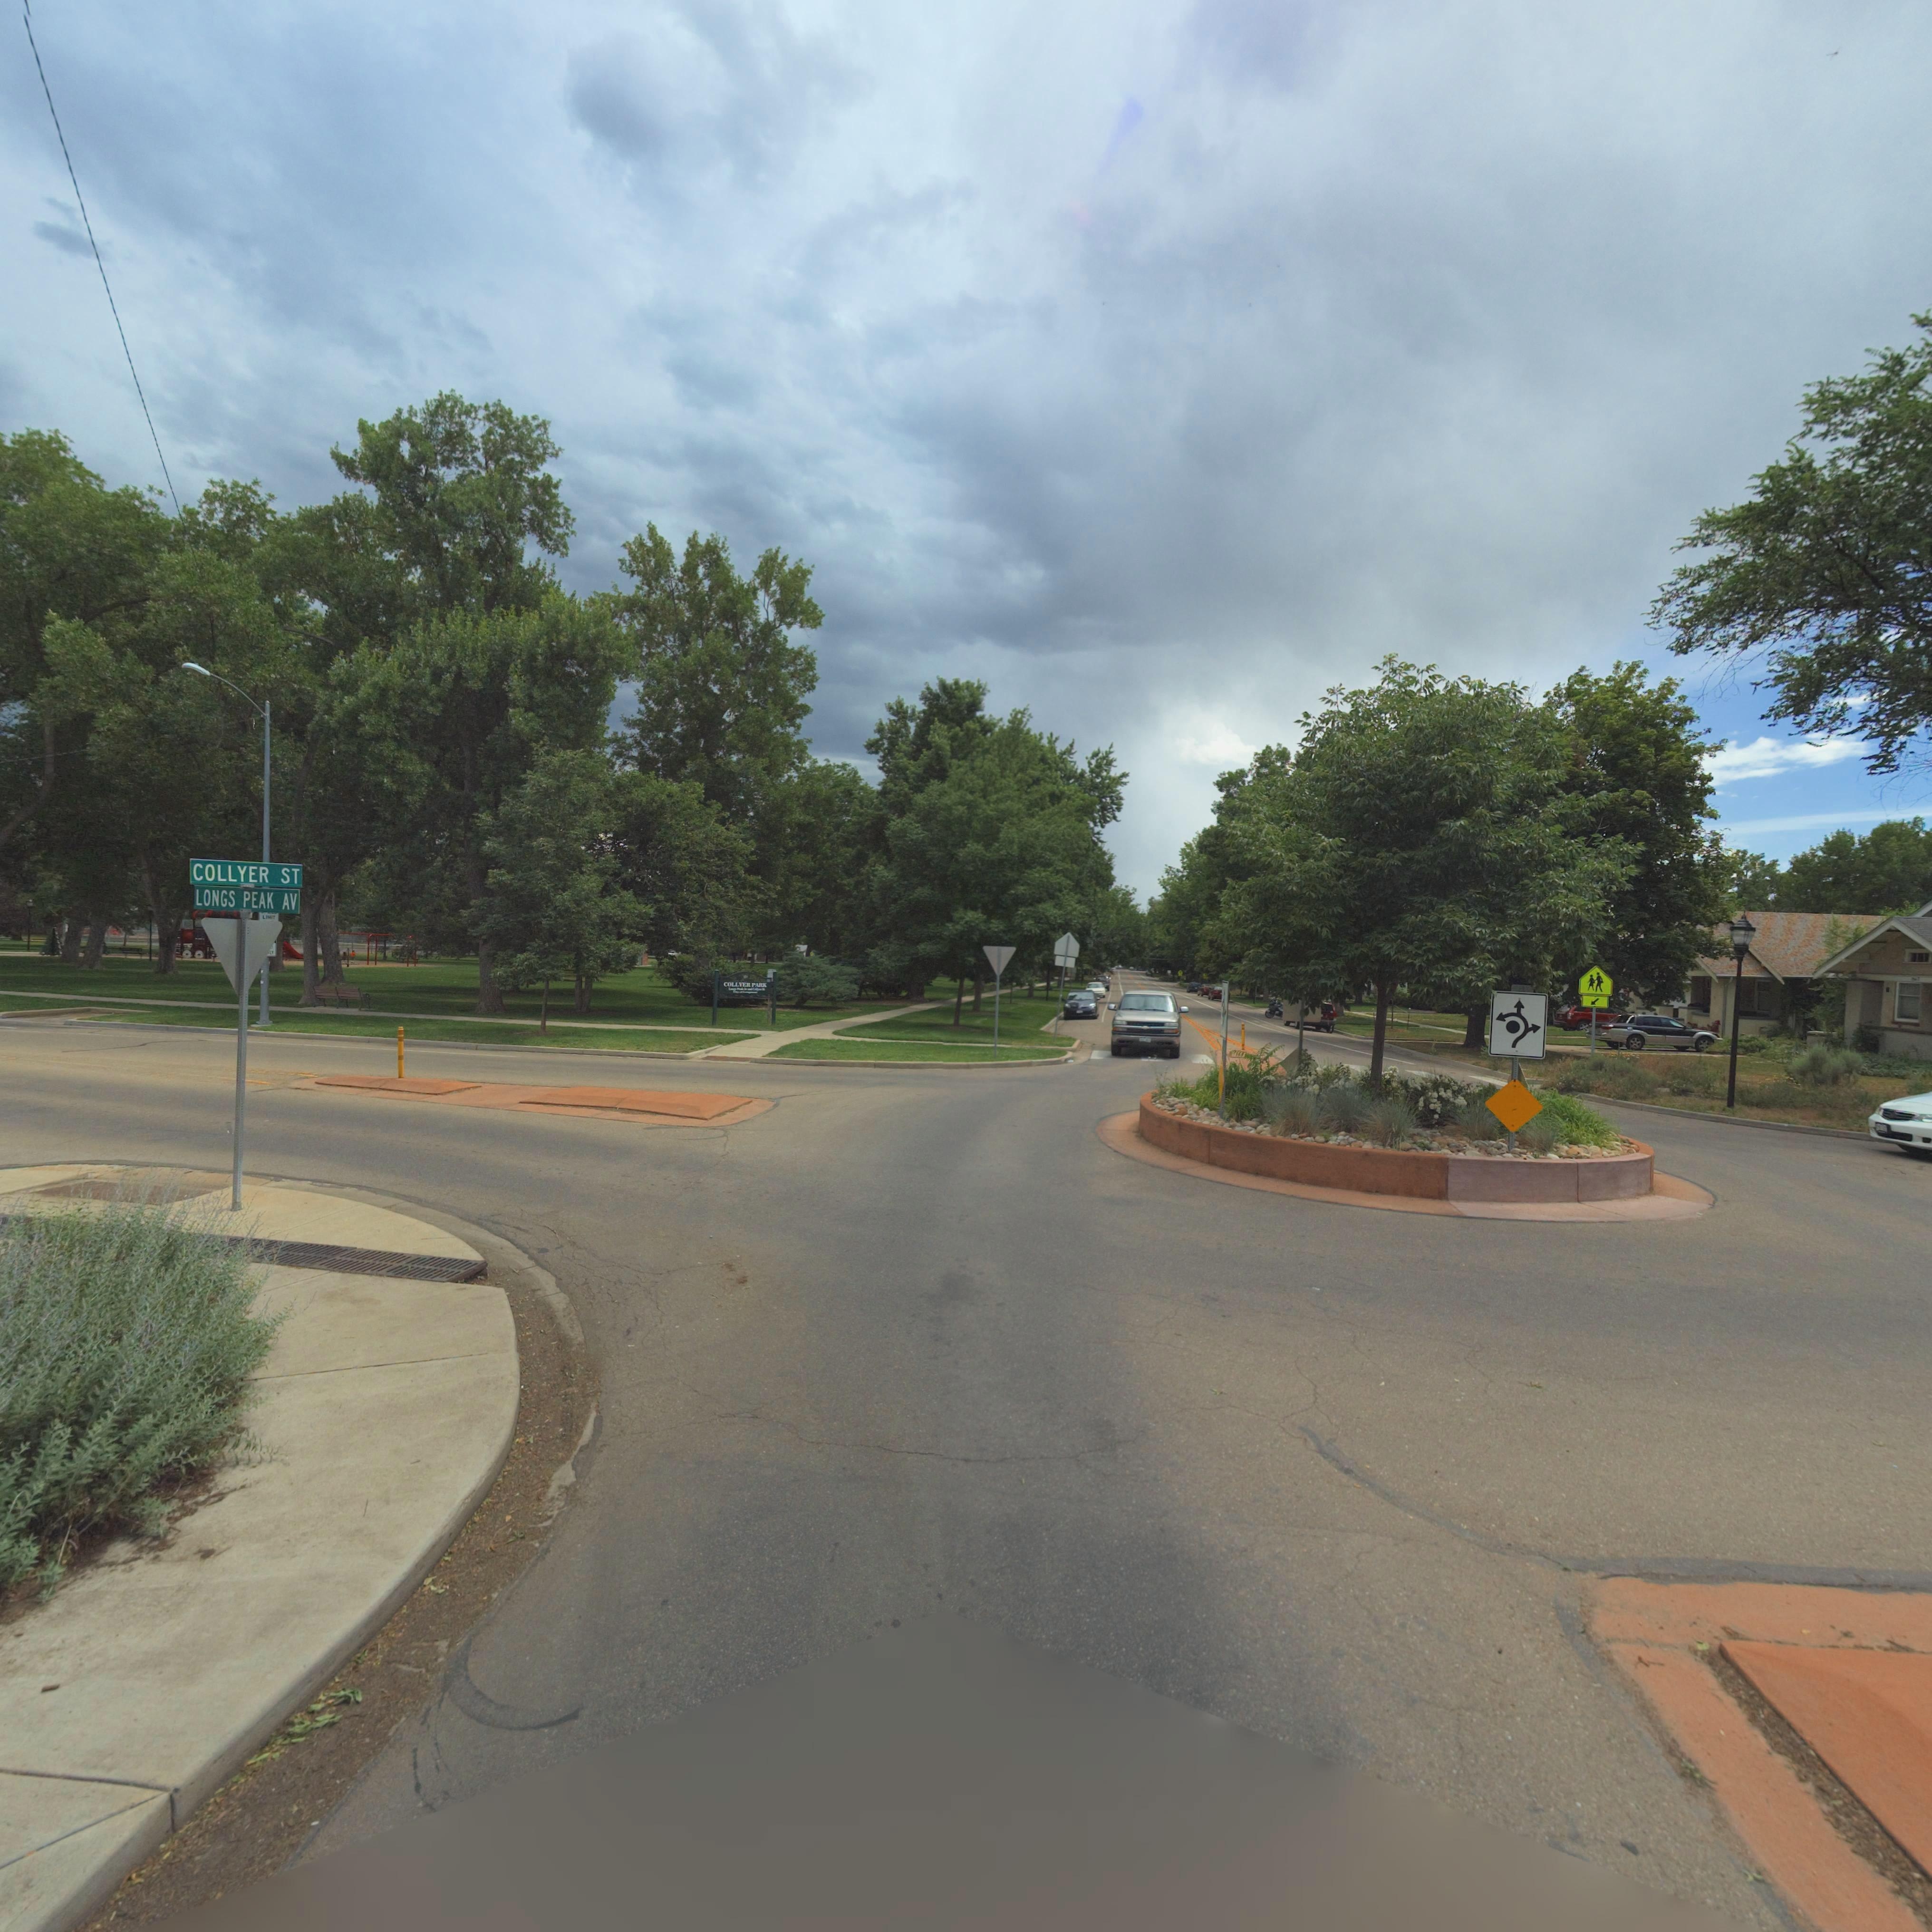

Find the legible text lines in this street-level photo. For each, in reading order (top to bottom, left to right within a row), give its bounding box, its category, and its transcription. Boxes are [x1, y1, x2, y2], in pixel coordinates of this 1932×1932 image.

[192, 863, 300, 884] StreetName: COLLYER ST
[195, 888, 299, 910] StreetName: LONGS PEAK AV
[723, 982, 768, 987] BusinessName: COLLYER PARK